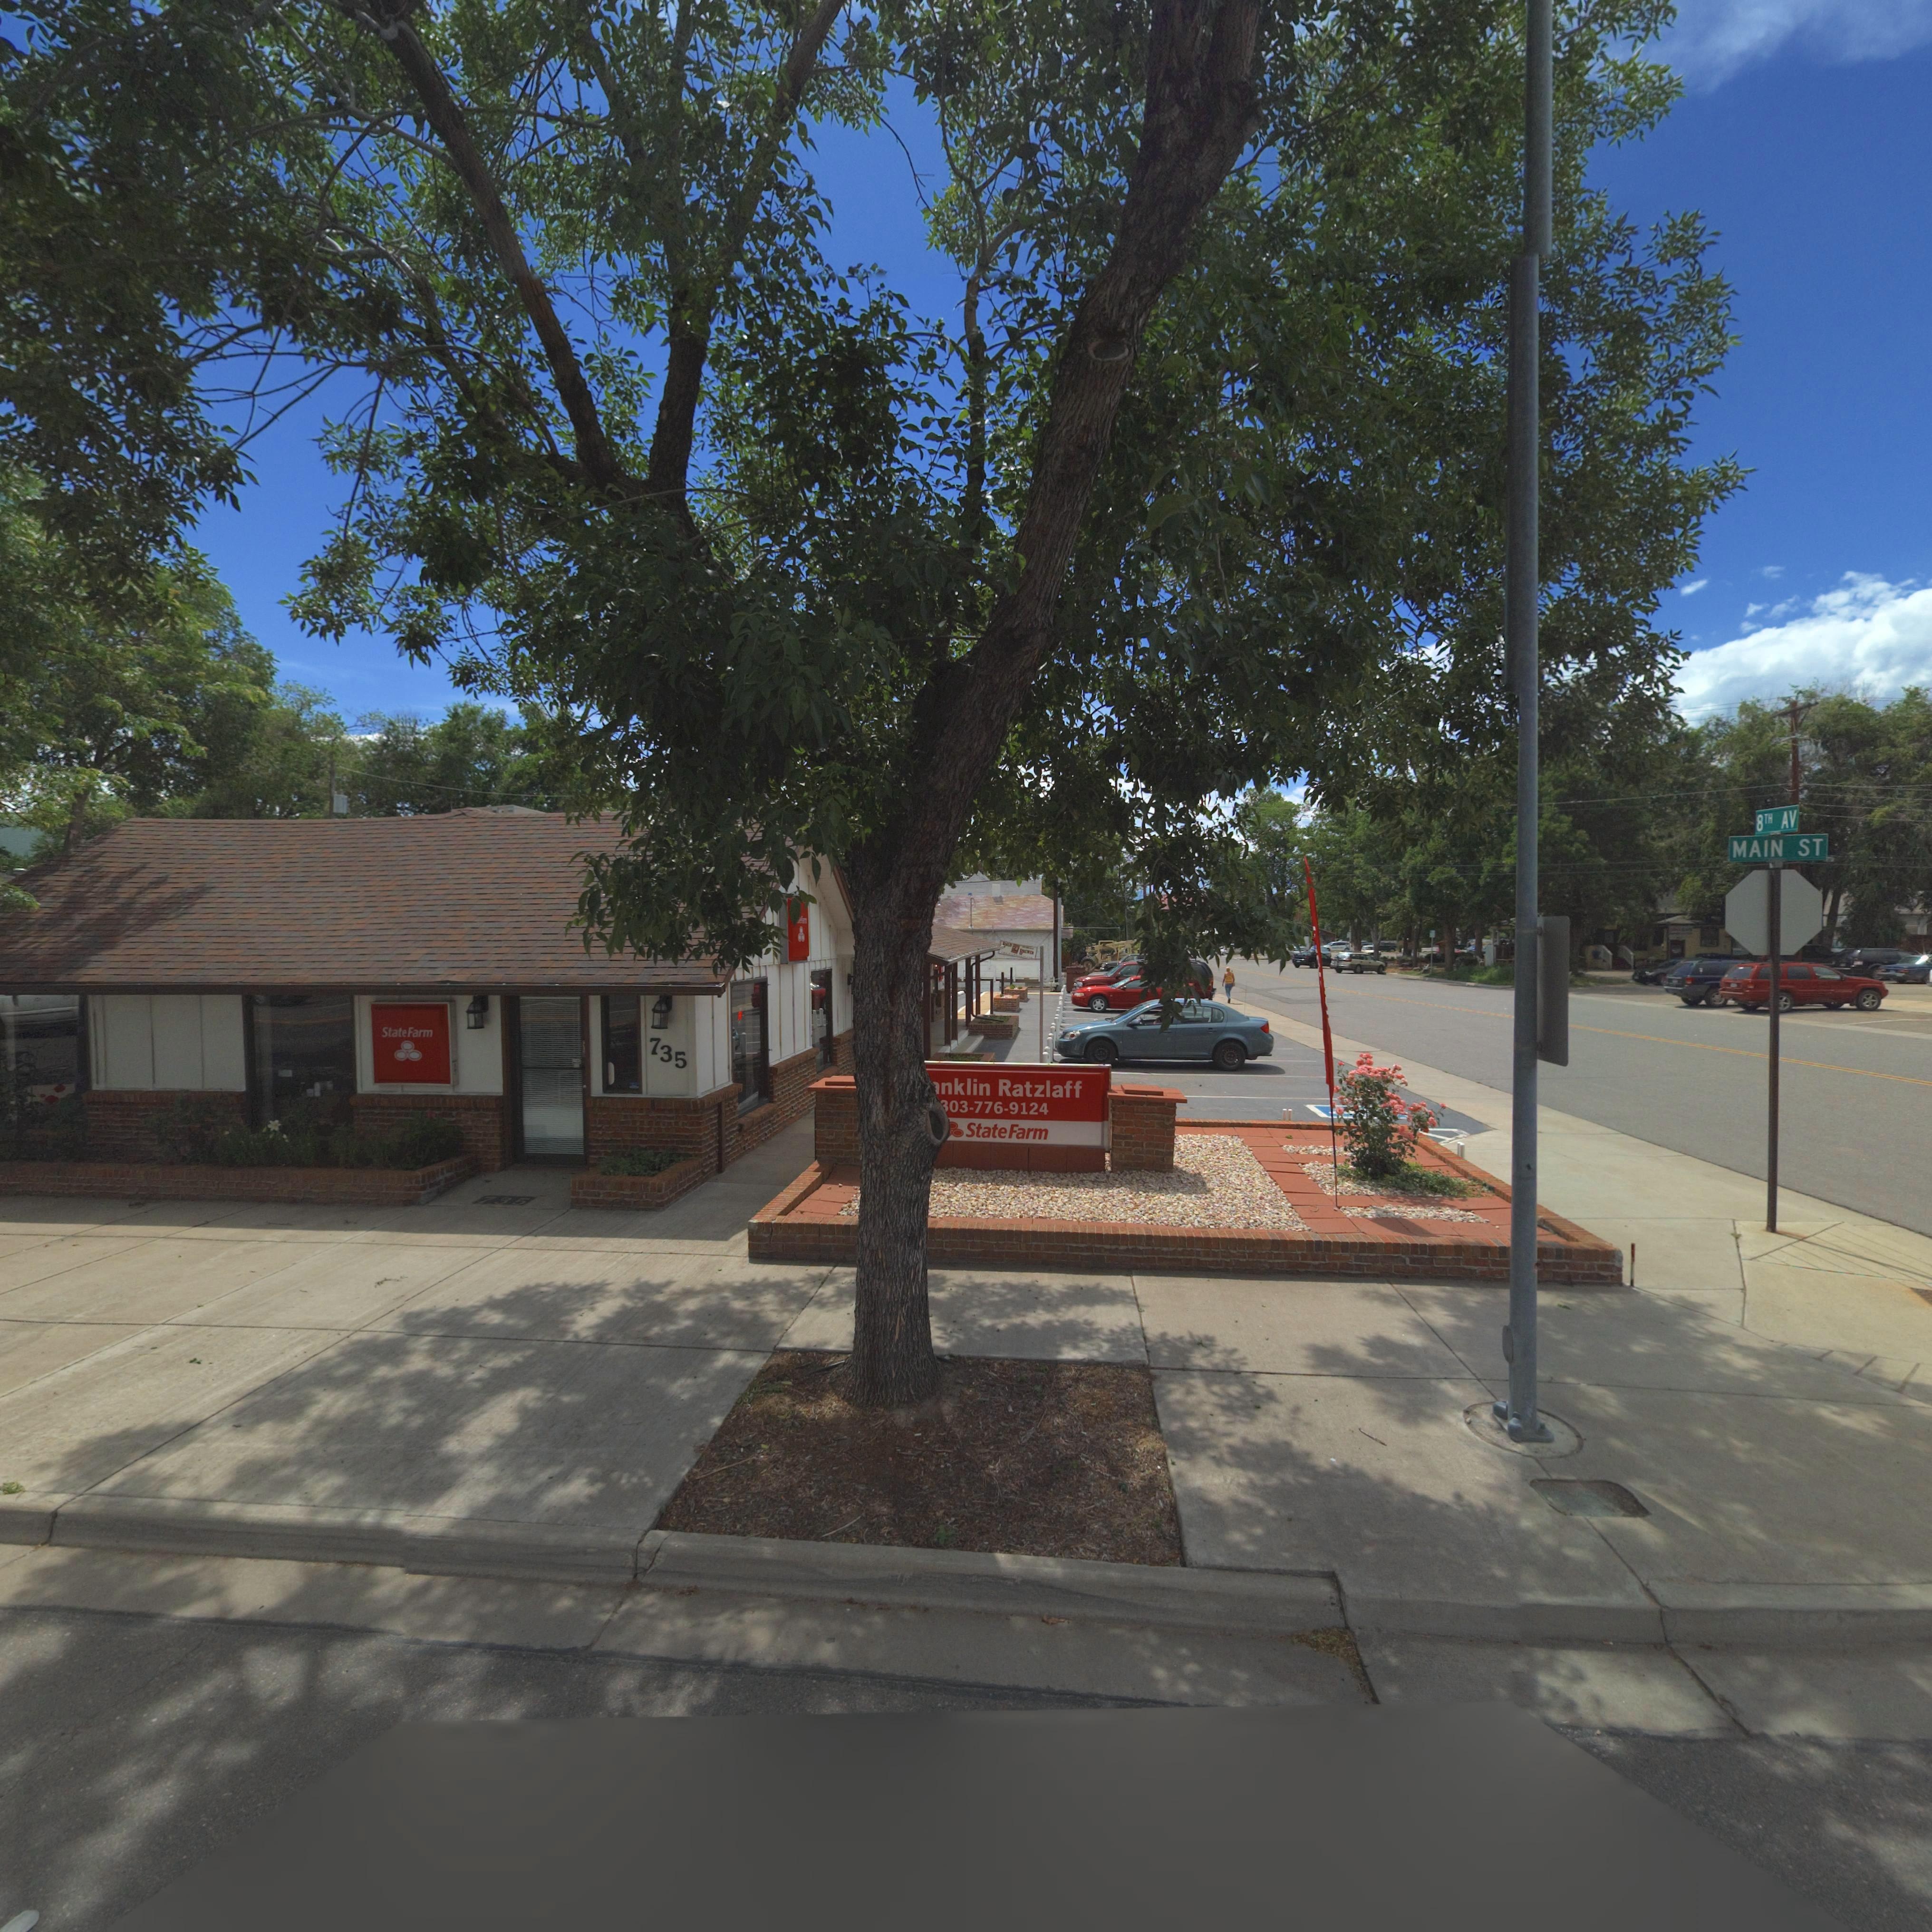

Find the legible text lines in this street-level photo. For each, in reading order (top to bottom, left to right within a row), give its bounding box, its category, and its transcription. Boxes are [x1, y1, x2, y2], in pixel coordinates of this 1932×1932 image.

[1756, 809, 1798, 832] StreetName: 8TH AV
[1732, 837, 1824, 858] StreetName: MAIN ST
[799, 915, 807, 923] BusinessName: eFarm
[1002, 941, 1012, 947] BusinessName: *ALD
[1019, 948, 1034, 955] BusinessName: BREWER
[381, 1025, 434, 1037] BusinessName: StateFarm
[649, 1037, 687, 1069] StreetNumber: 735
[475, 1195, 531, 1205] StreetNumber: 735